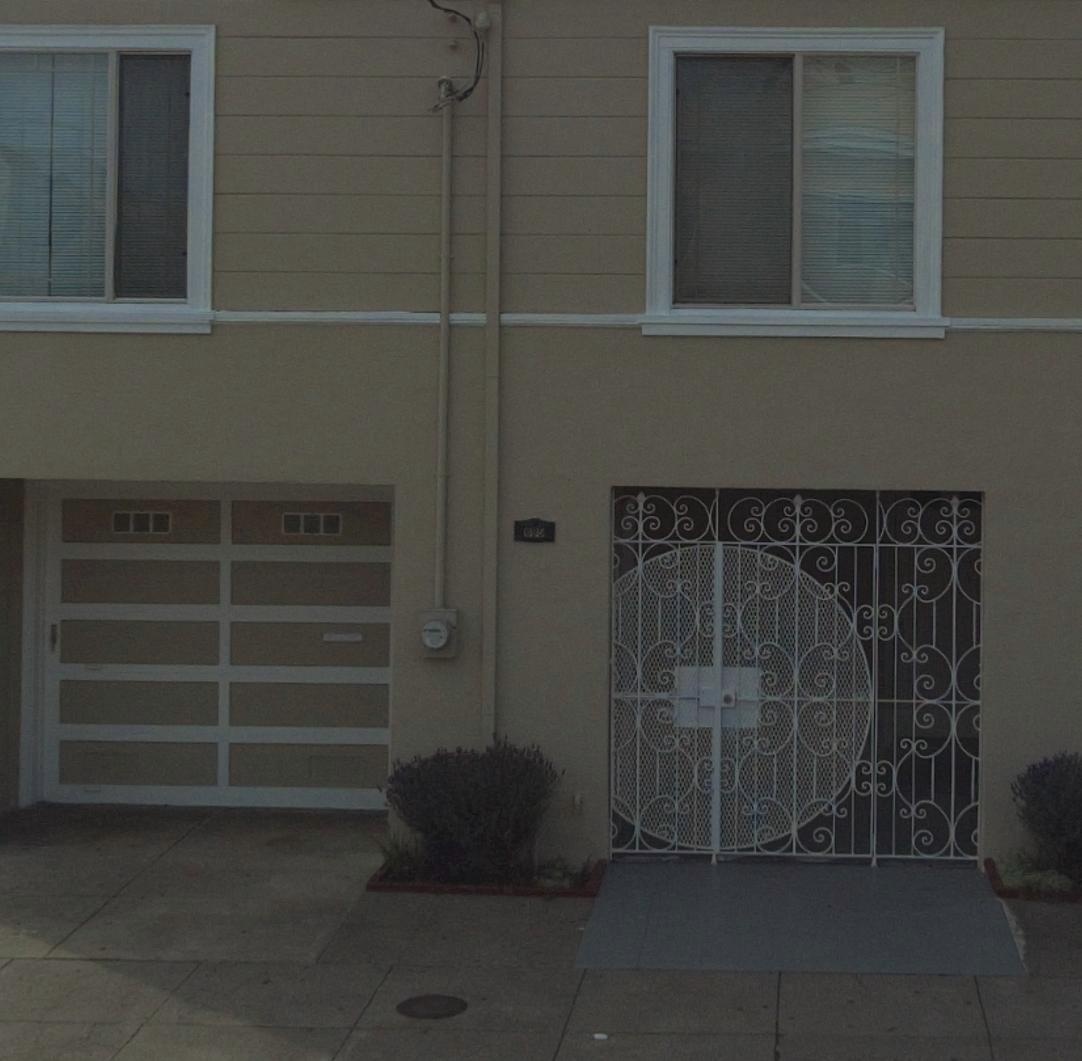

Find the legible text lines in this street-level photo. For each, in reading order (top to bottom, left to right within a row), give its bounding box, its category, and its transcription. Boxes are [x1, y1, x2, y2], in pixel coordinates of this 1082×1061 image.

[523, 527, 546, 538] StreetNumber: 625